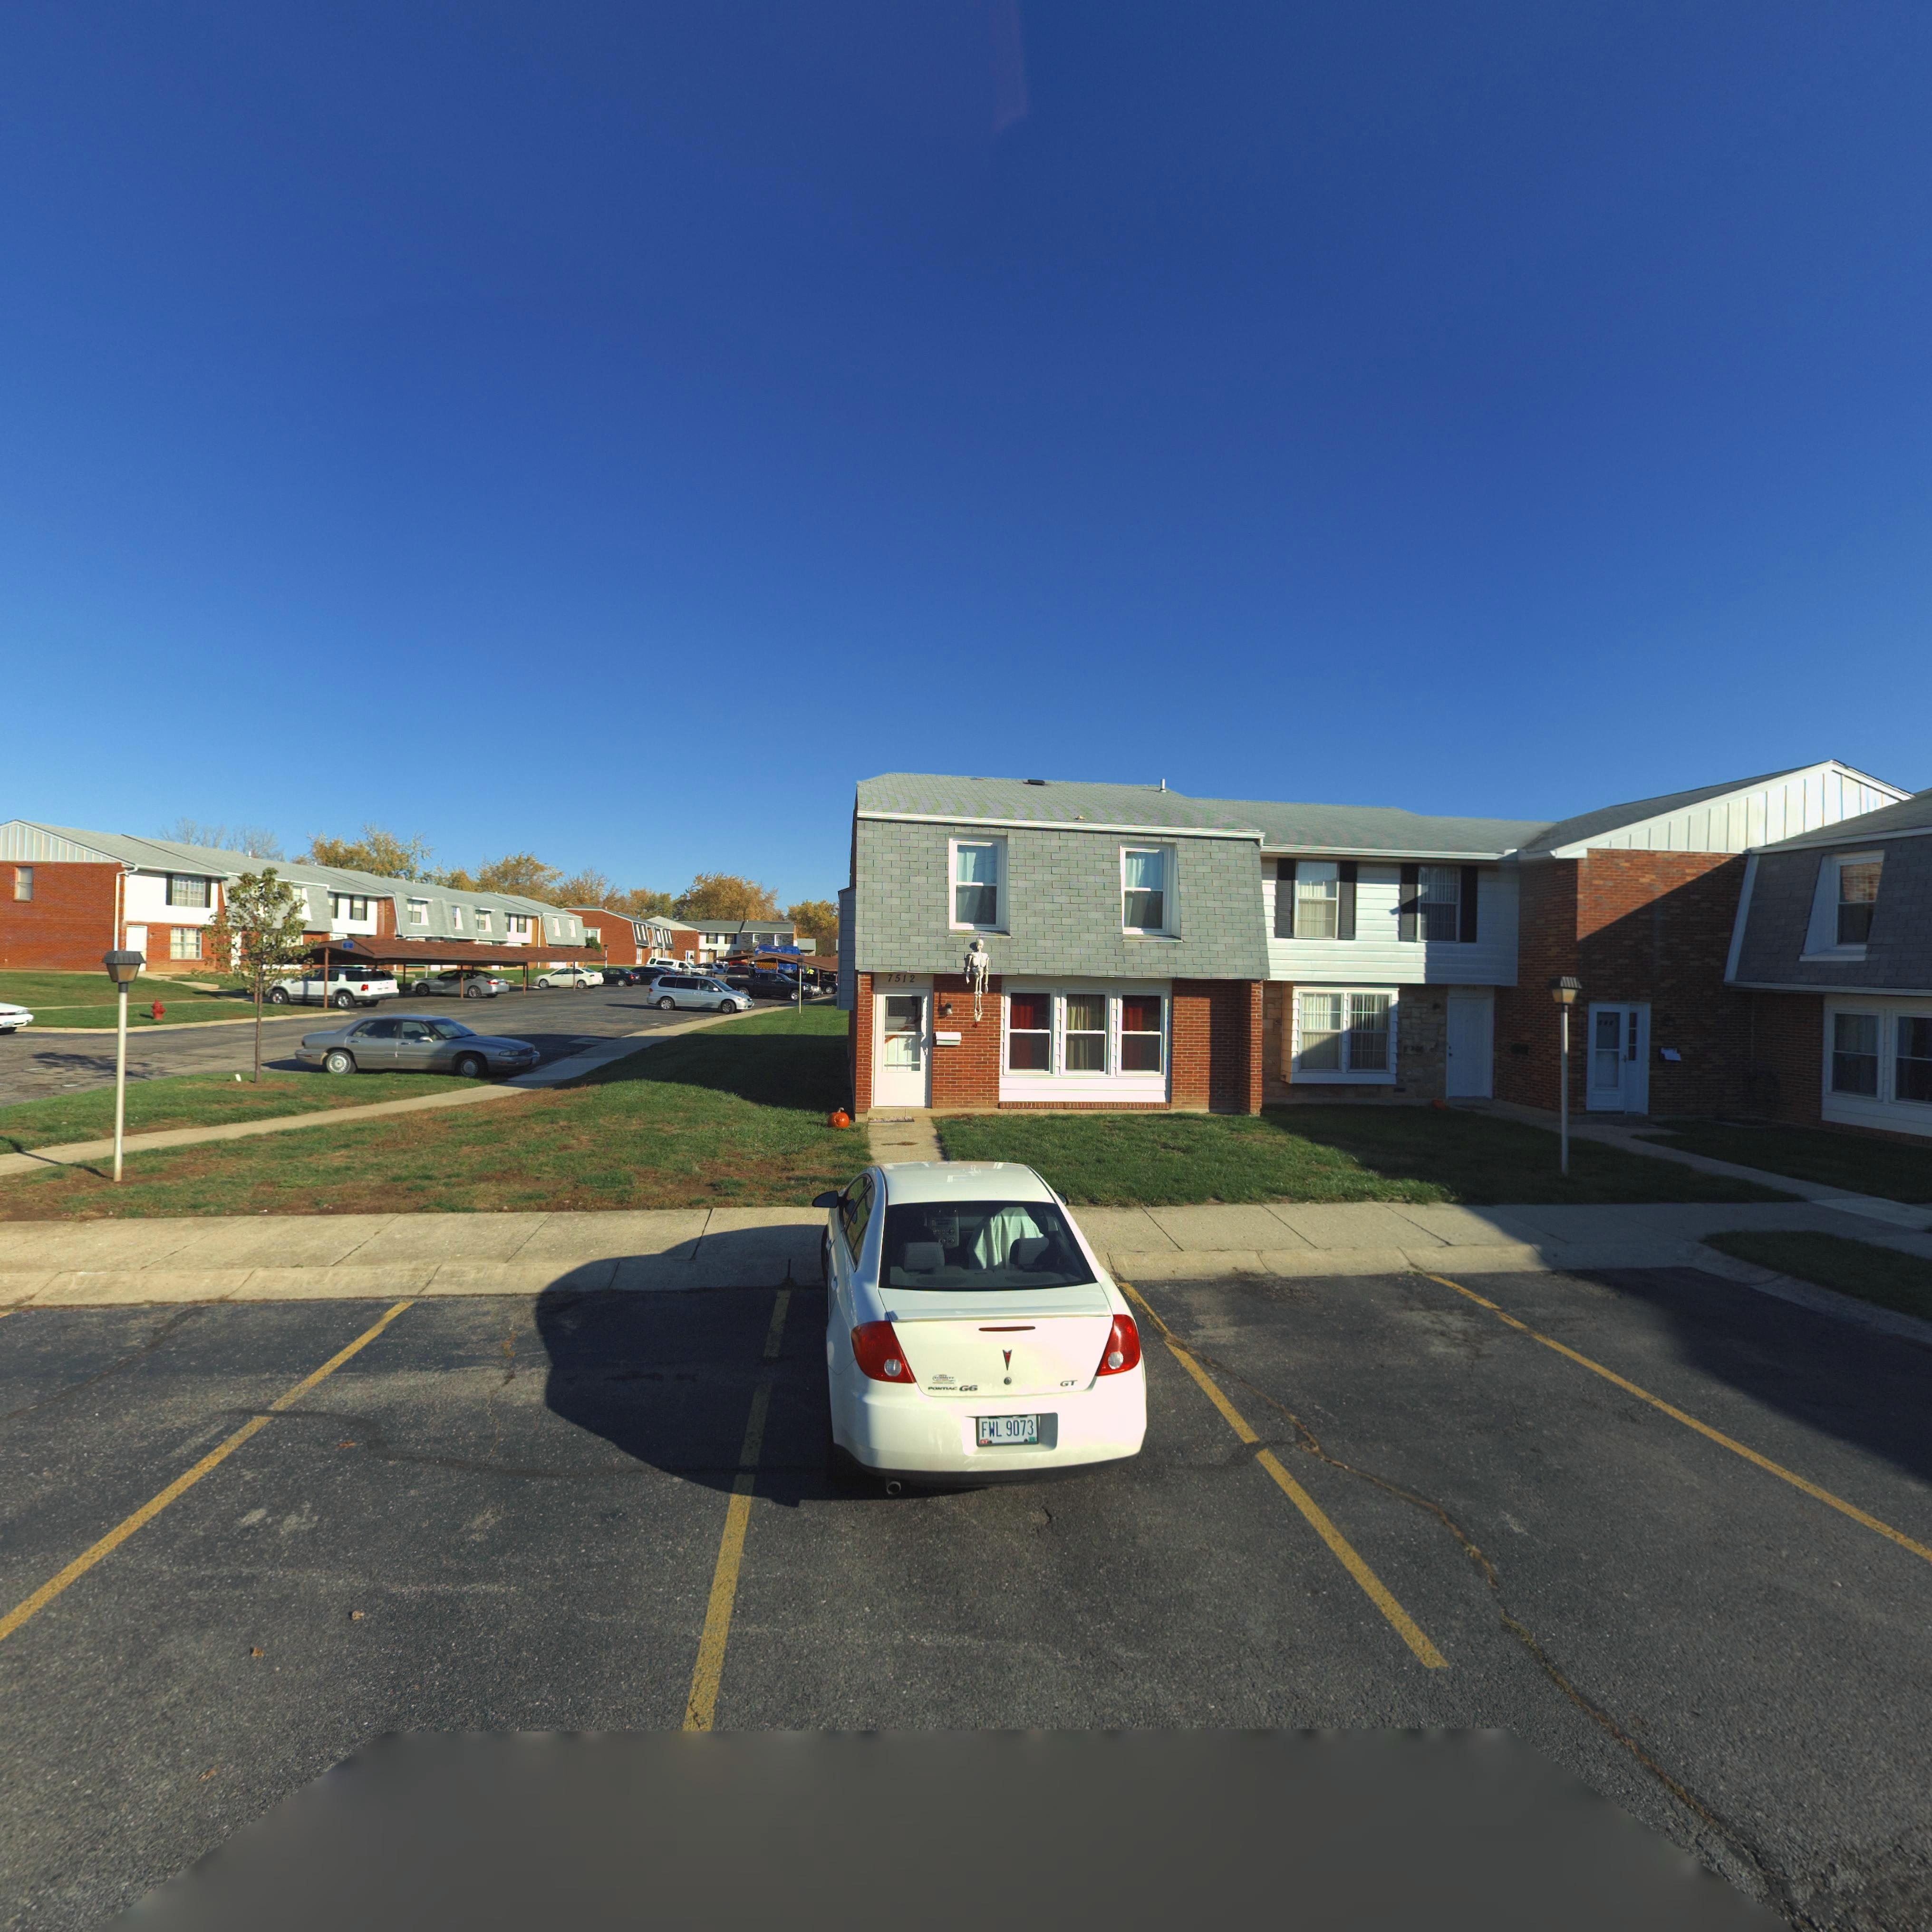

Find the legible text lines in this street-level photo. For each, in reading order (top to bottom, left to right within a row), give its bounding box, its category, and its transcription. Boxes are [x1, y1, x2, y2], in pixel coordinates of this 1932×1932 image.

[888, 973, 916, 983] StreetNumber: 7512
[1468, 984, 1477, 991] StreetNumber: 20